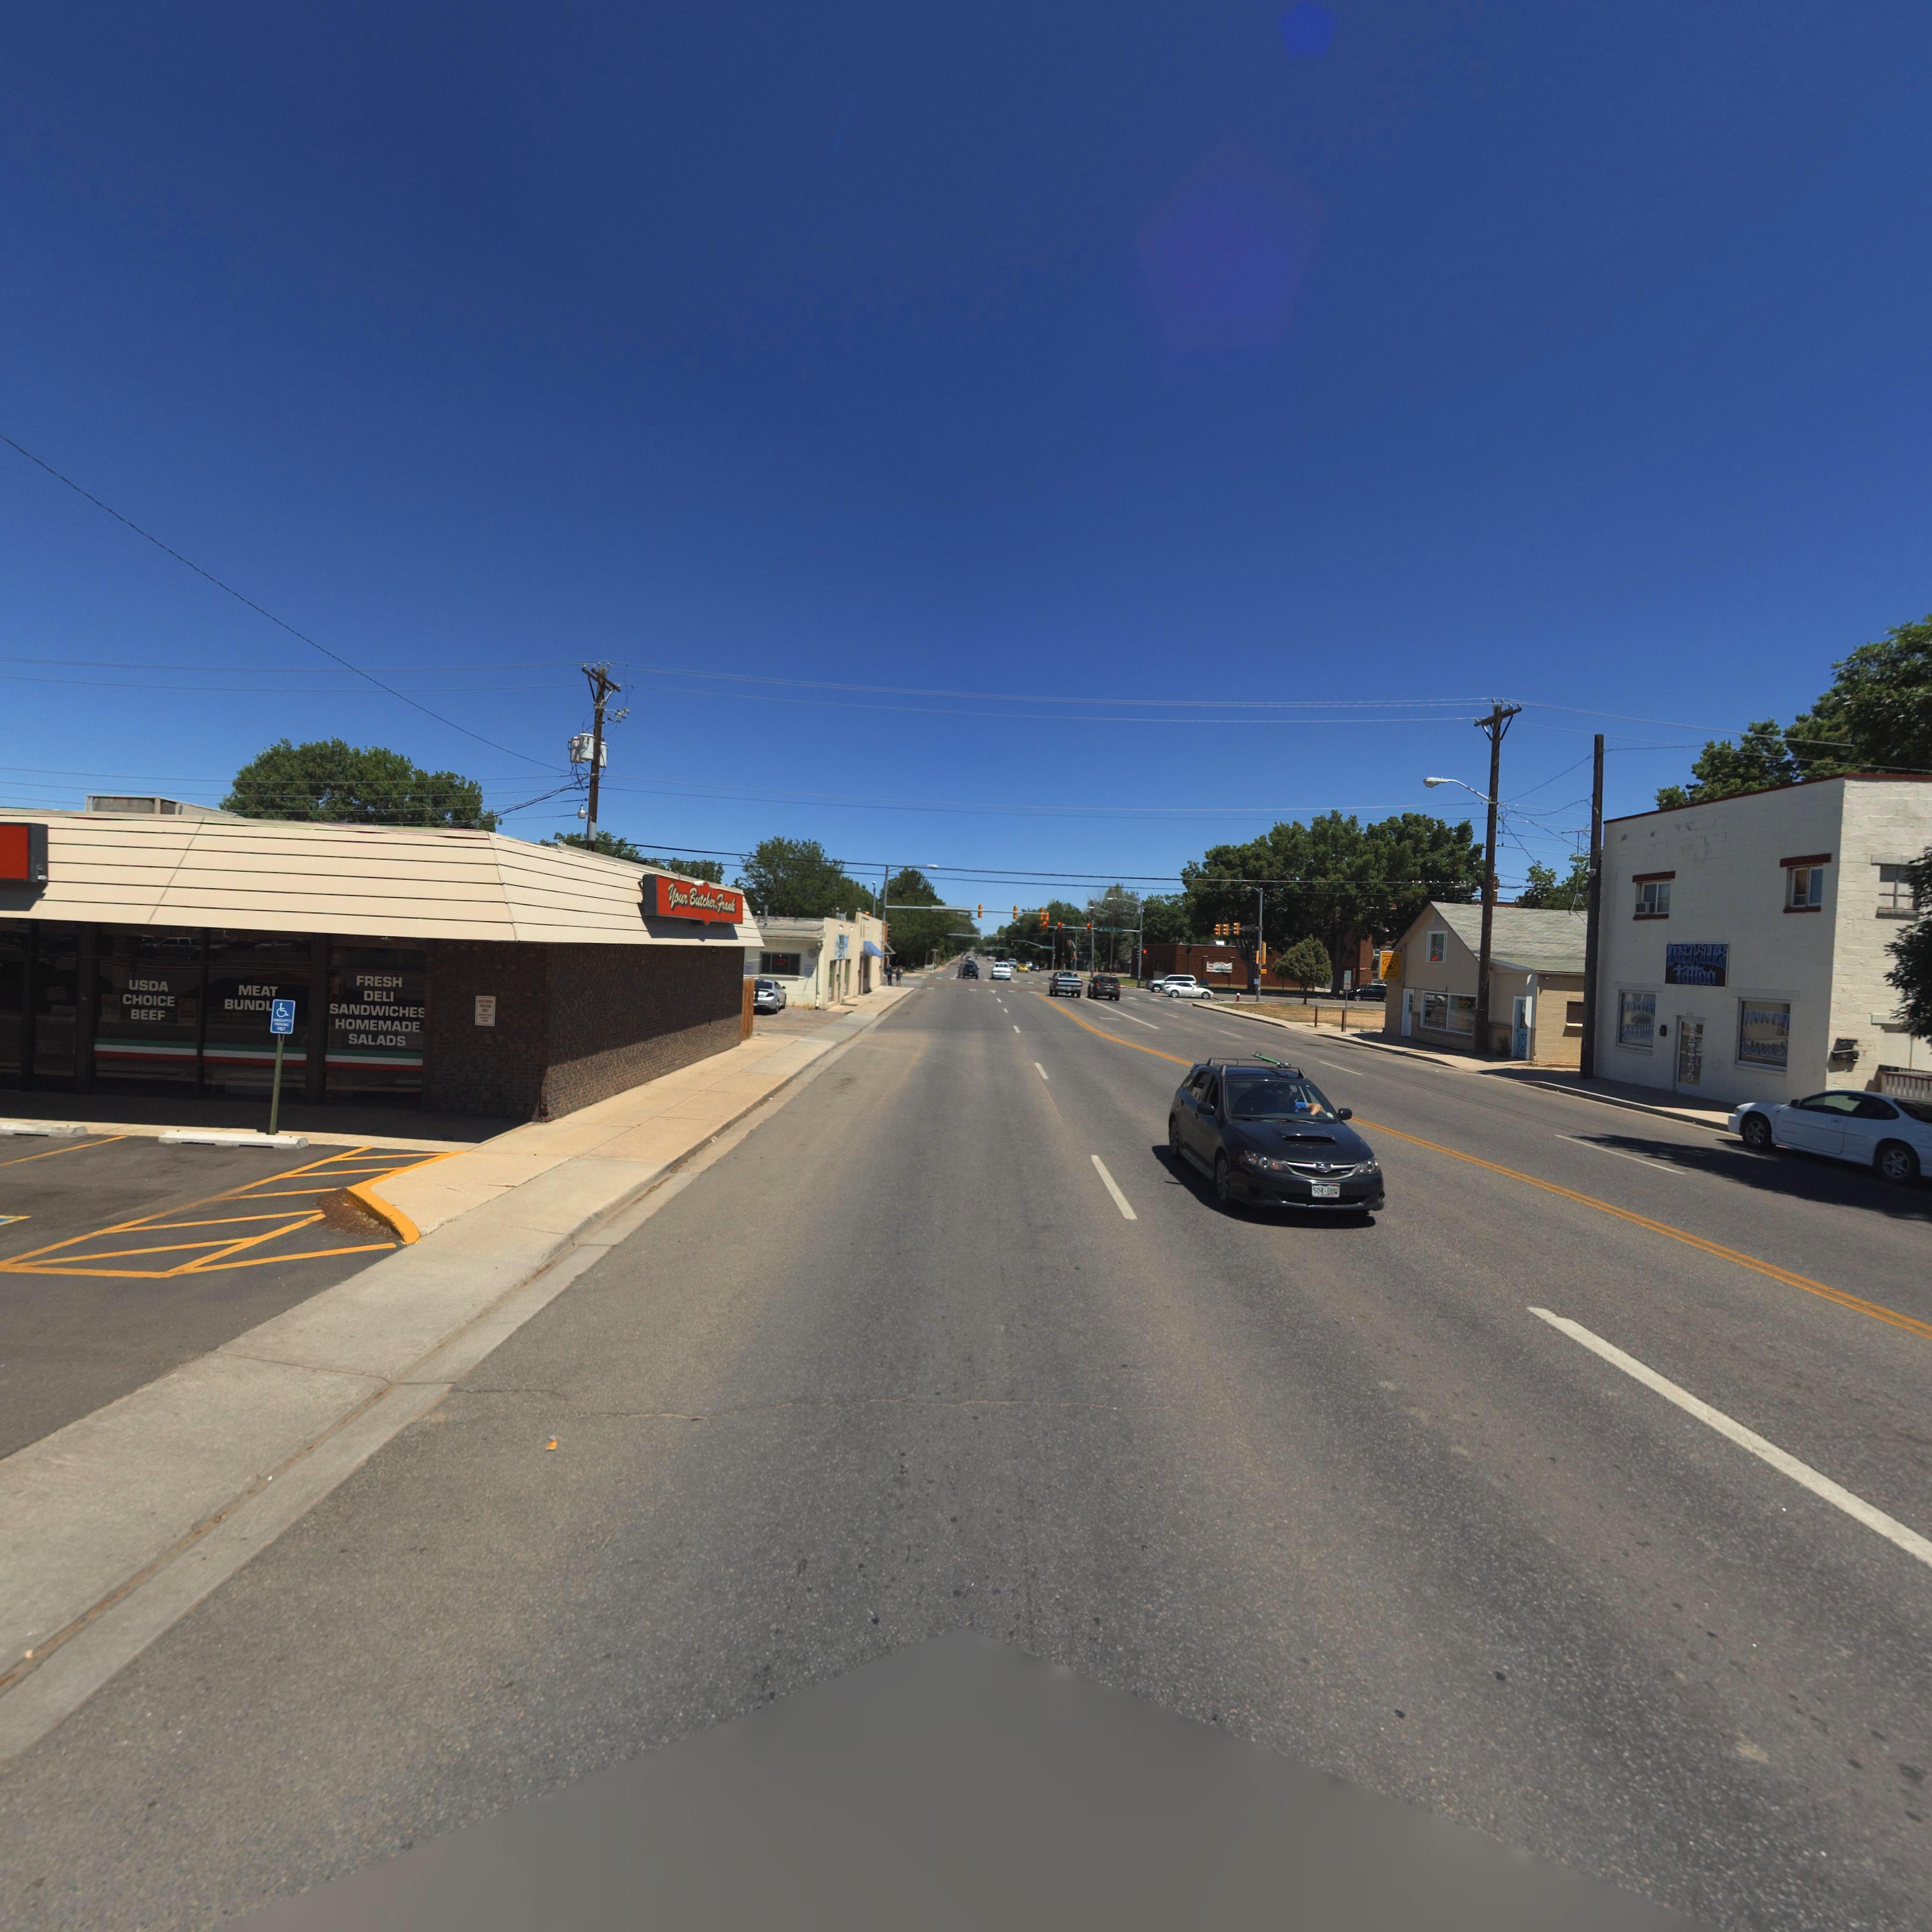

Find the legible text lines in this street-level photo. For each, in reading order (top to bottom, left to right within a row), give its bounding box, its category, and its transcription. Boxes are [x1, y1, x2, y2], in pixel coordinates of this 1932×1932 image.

[667, 881, 736, 914] BusinessName: *ou* Butche*, ****k
[1103, 927, 1116, 932] StreetName: M*** S*
[1382, 954, 1399, 958] BusinessName: ******** Dog
[1666, 945, 1727, 970] BusinessName: INKEDSOULS
[1381, 970, 1398, 974] BusinessName: P** *******g
[1672, 964, 1717, 985] BusinessName: tattoo
[1456, 999, 1470, 1005] BusinessName: ******* Dog
[1686, 1010, 1694, 1016] StreetNumber: 62*
[1455, 1019, 1470, 1026] BusinessName: *** *******g
[1744, 1010, 1787, 1030] BusinessName: INK**
[1740, 1032, 1788, 1059] BusinessName: S*ULS